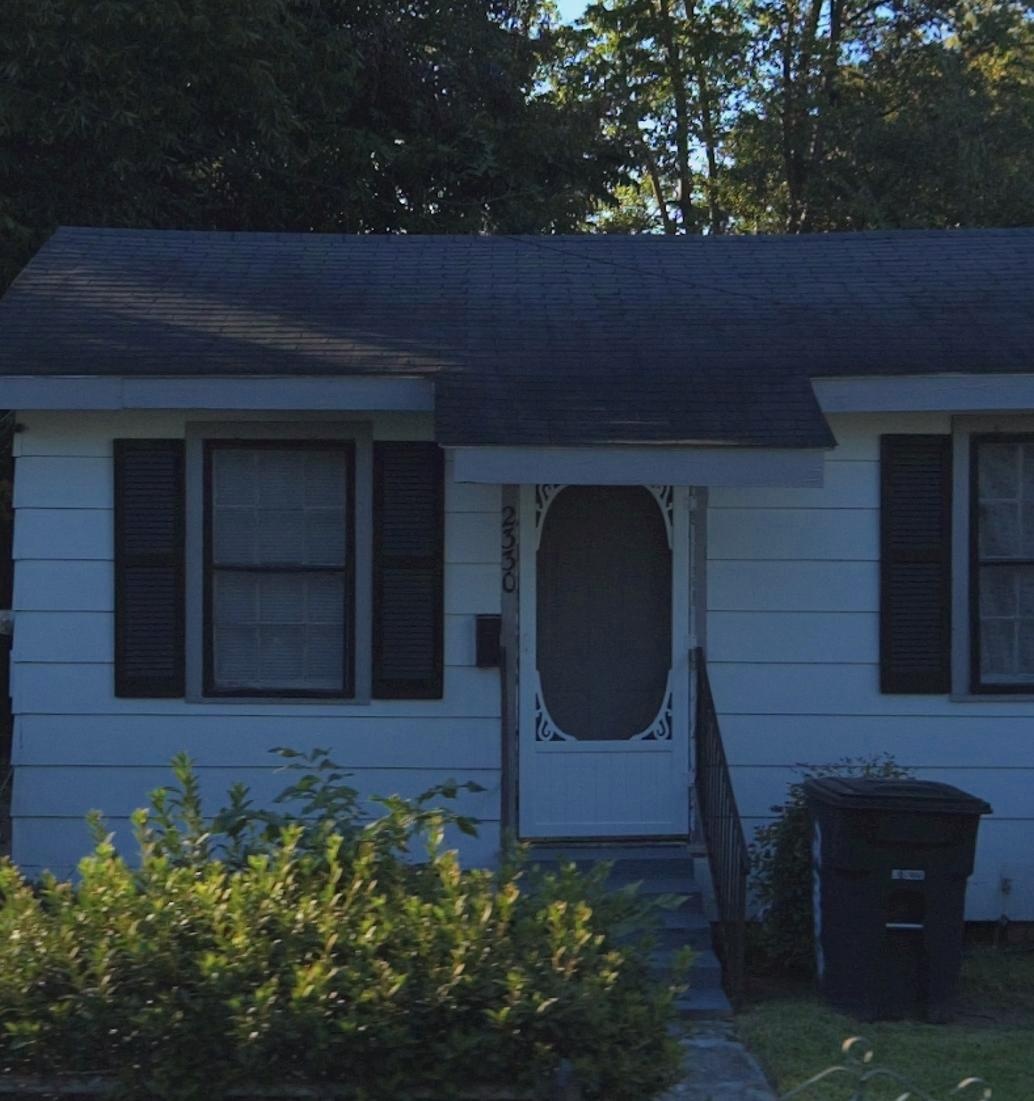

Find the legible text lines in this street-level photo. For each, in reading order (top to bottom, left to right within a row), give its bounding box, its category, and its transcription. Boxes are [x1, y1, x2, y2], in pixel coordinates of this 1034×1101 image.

[500, 503, 518, 595] StreetNumber: 2330